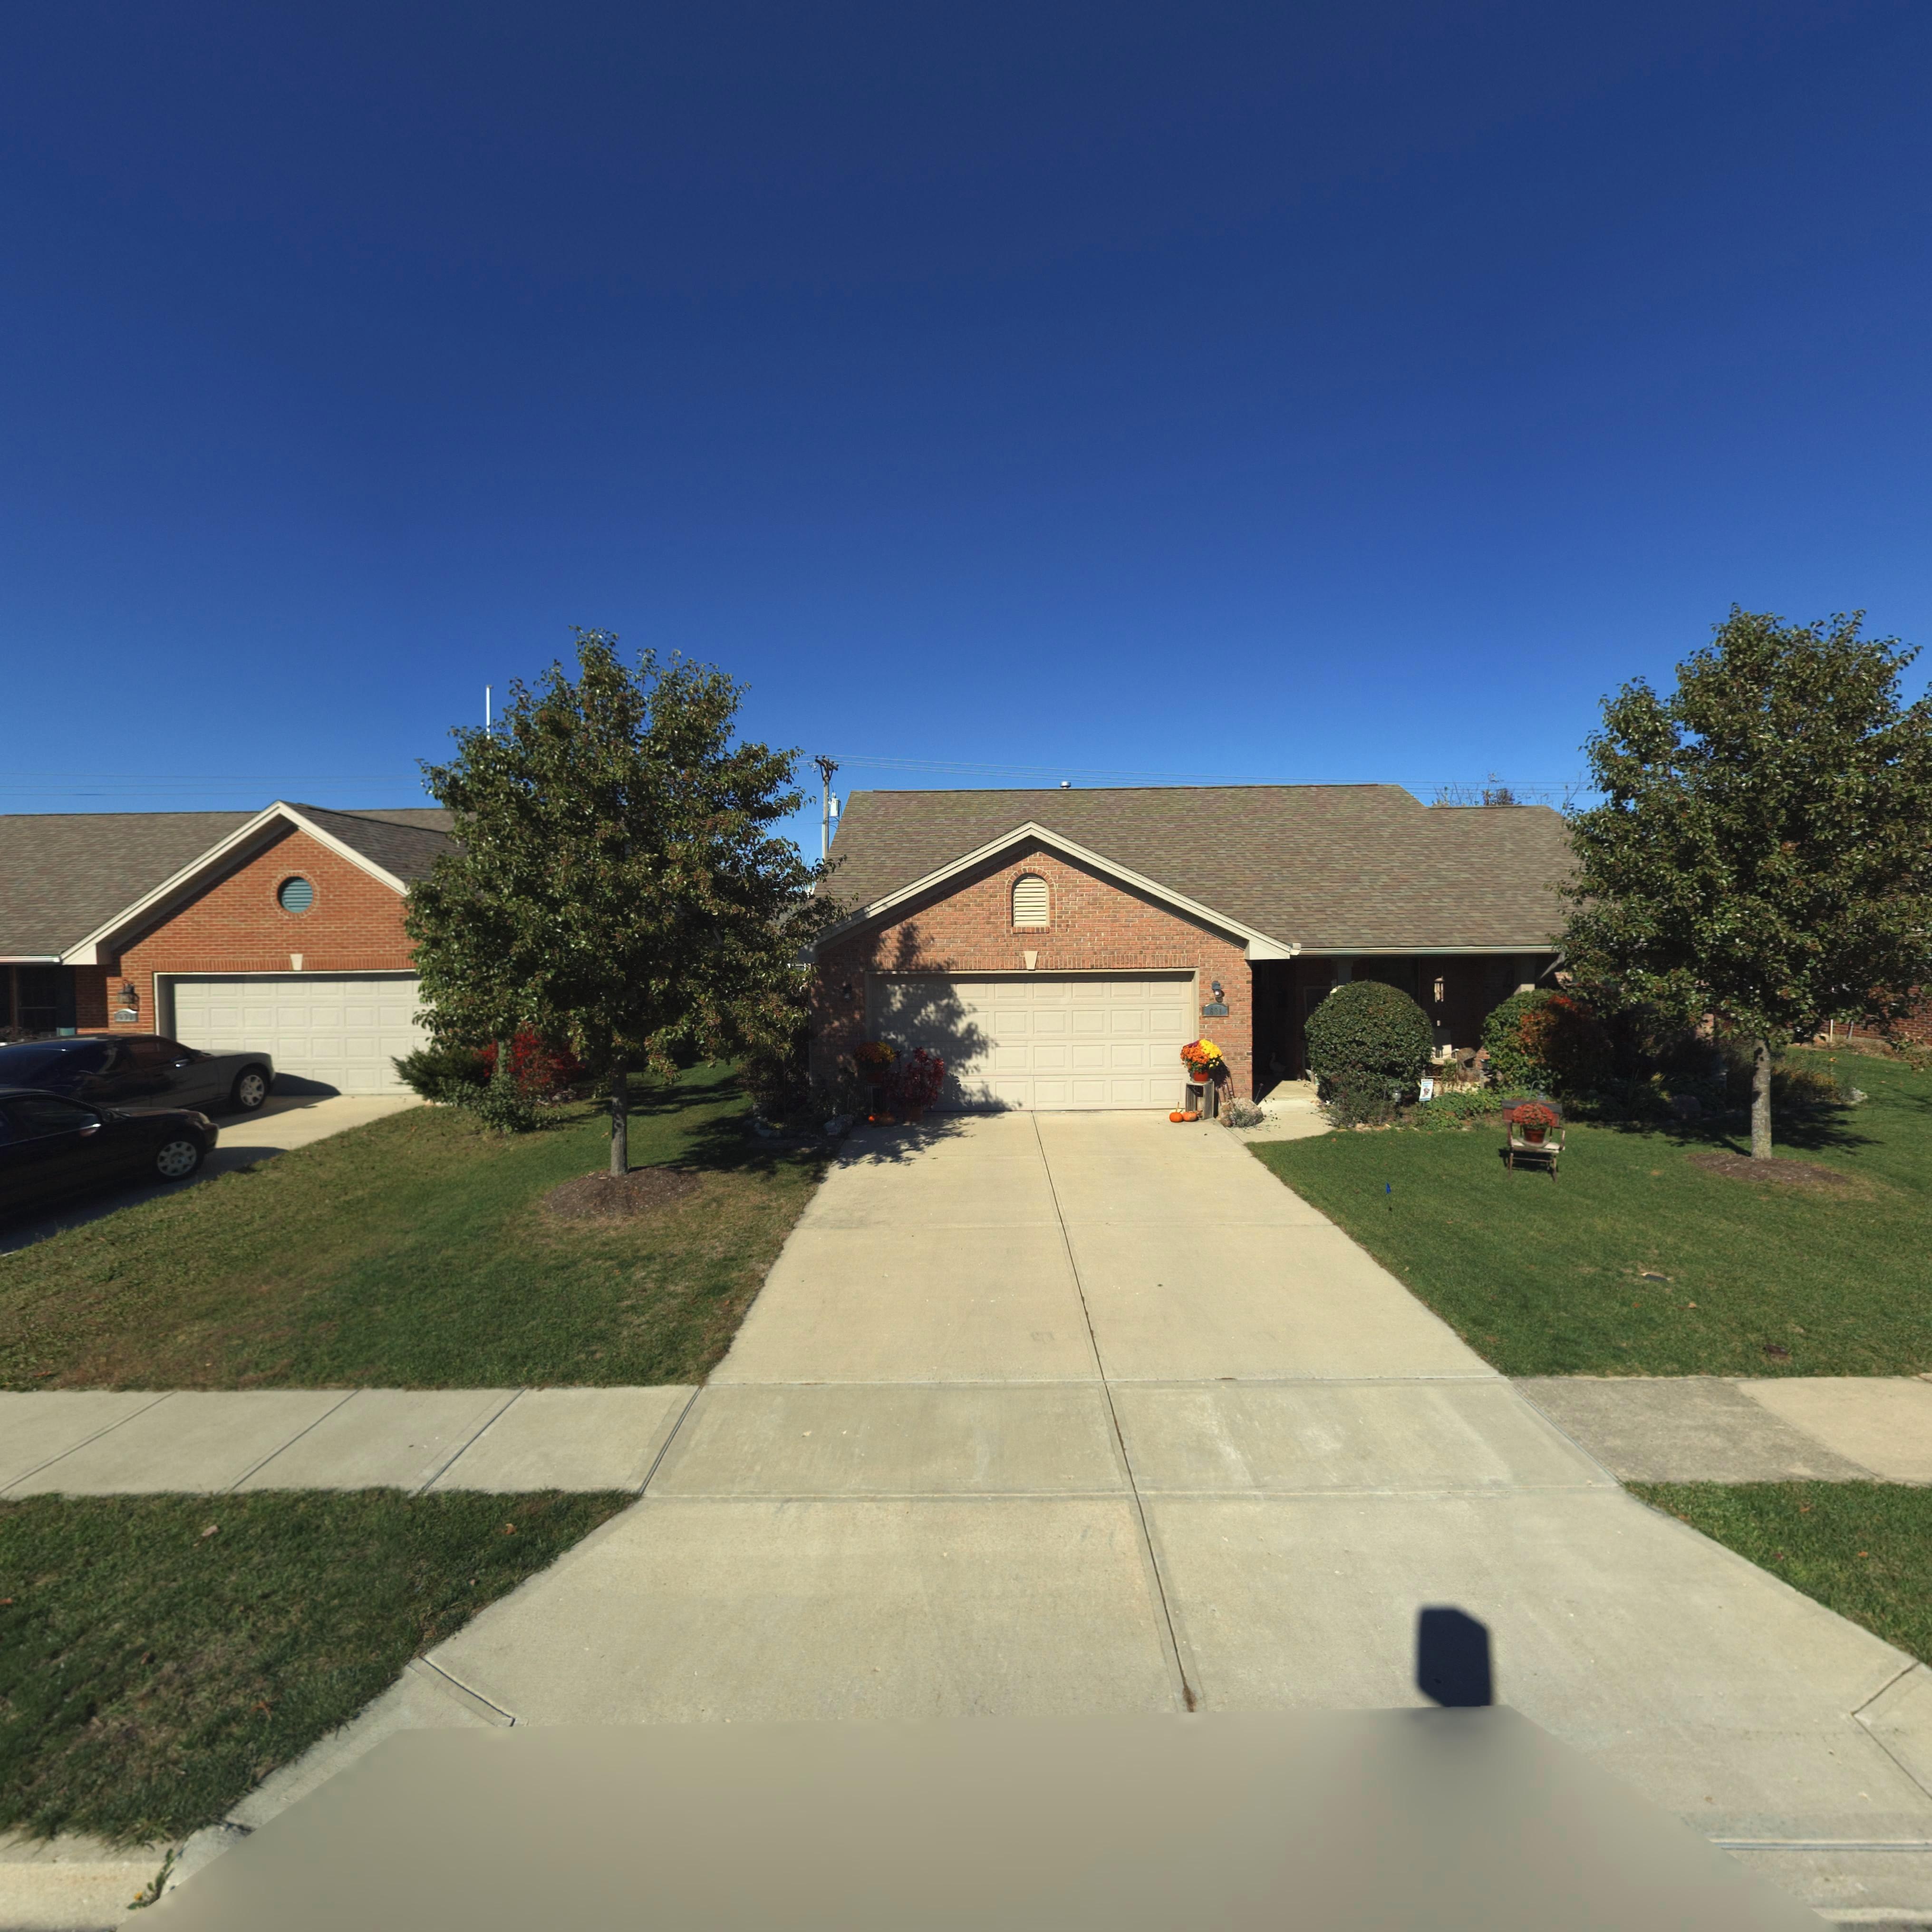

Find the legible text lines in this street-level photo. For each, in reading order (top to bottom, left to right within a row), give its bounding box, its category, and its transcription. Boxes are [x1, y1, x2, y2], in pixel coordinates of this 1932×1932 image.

[1208, 1007, 1223, 1016] StreetNumber: 6*1